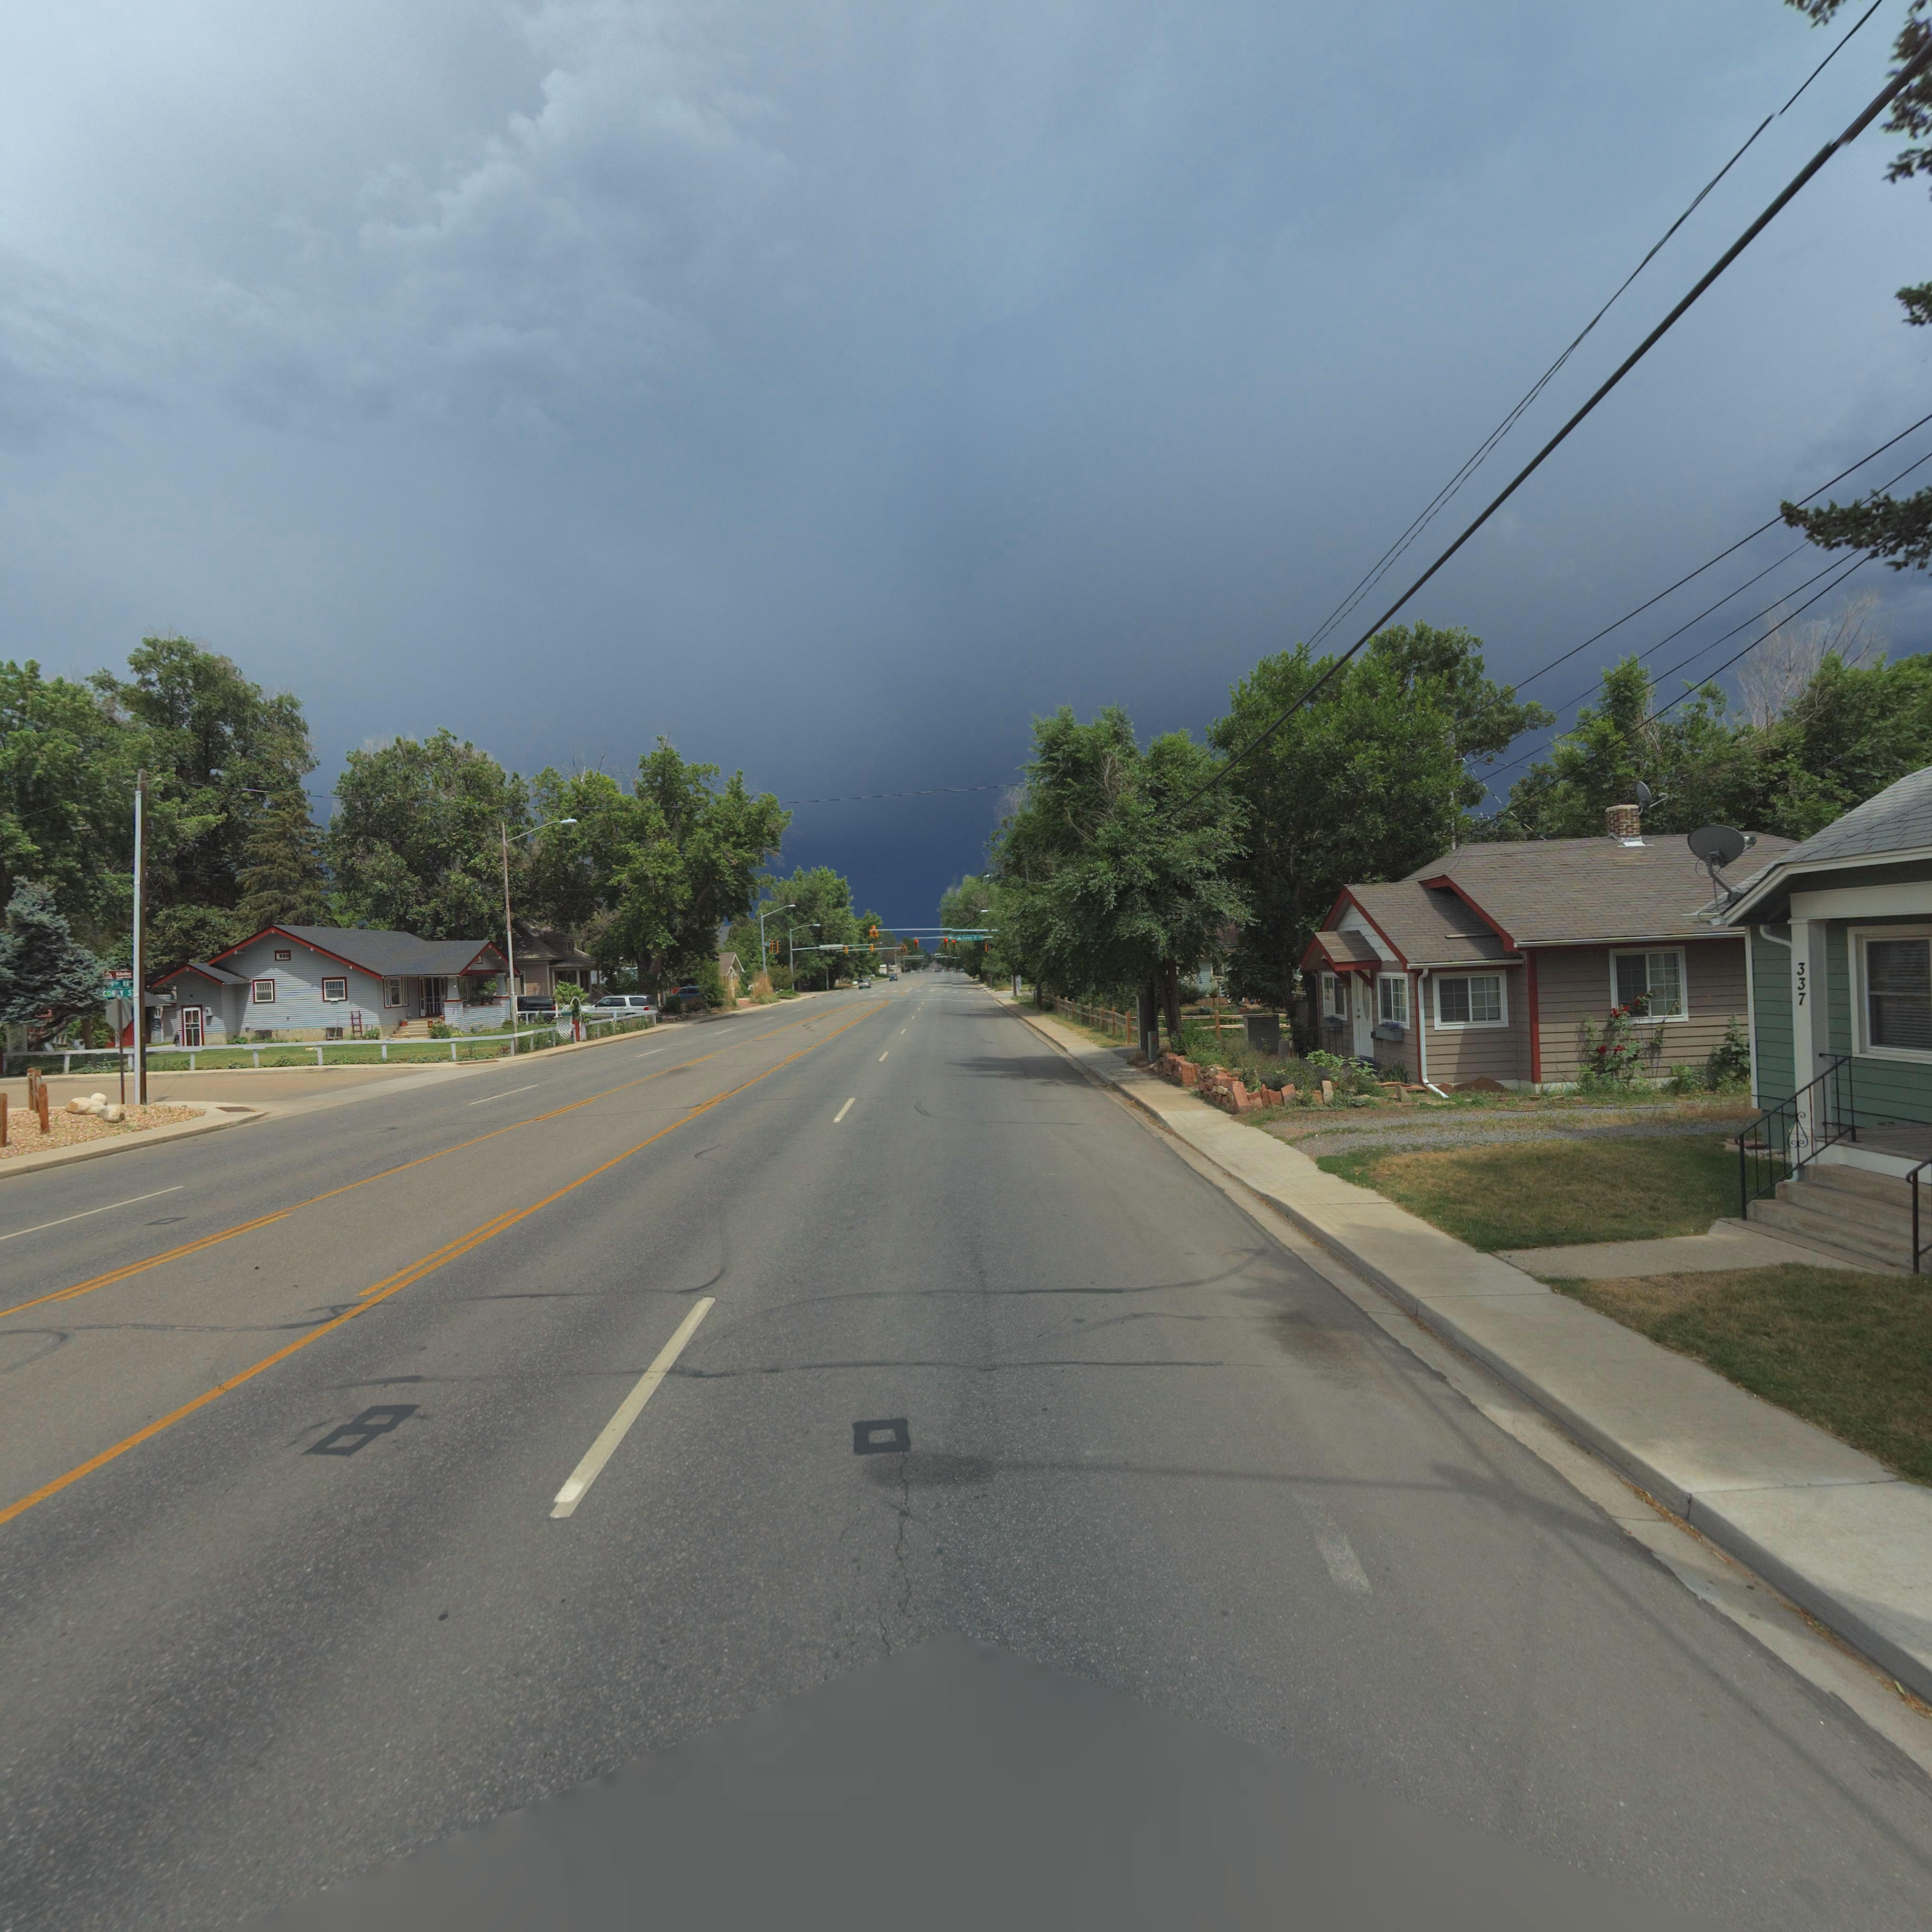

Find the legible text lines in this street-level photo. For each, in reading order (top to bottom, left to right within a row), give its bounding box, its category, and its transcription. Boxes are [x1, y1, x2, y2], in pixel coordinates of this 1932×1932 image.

[962, 936, 977, 940] StreetName: C**** St
[110, 980, 129, 987] StreetName: 9T* **
[1796, 961, 1806, 1006] StreetNumber: 337
[102, 989, 132, 997] StreetName: COREY S